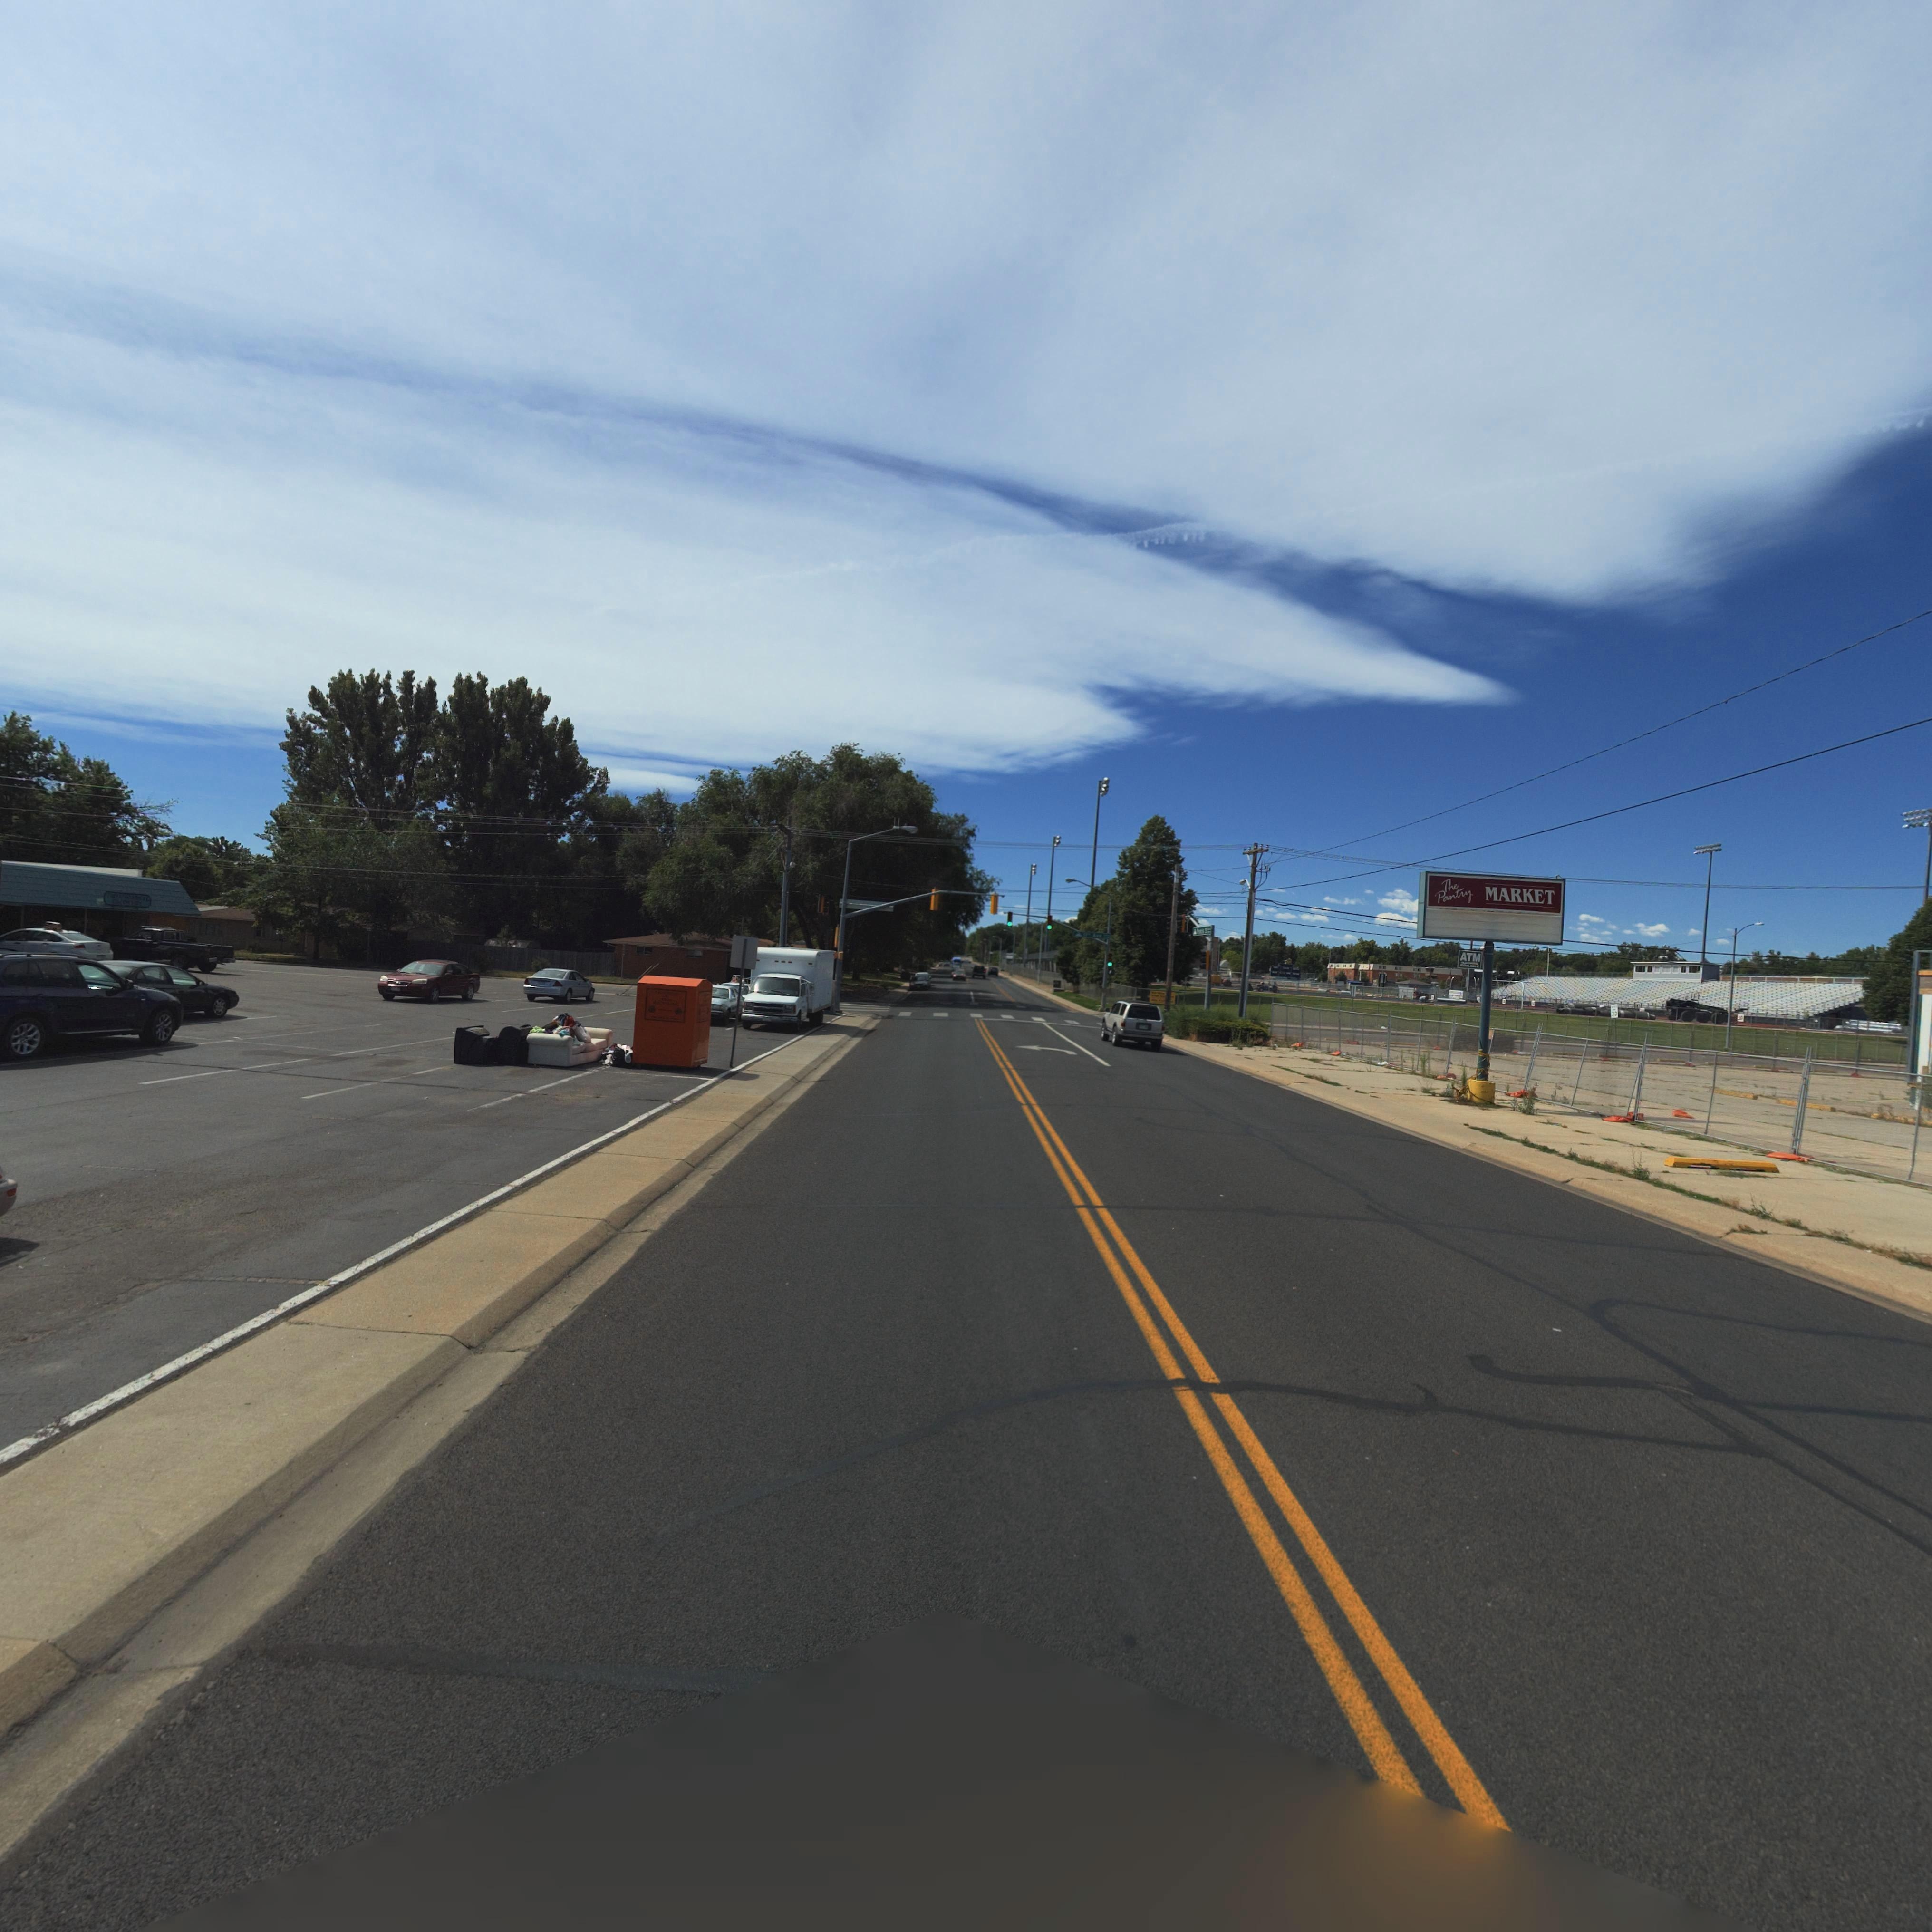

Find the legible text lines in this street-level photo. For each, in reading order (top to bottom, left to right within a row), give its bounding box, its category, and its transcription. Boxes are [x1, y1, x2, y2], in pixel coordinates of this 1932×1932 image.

[1434, 888, 1473, 904] BusinessName: Pantry
[1484, 886, 1556, 905] BusinessName: MARKET
[1083, 932, 1101, 937] StreetName: 11th Ave